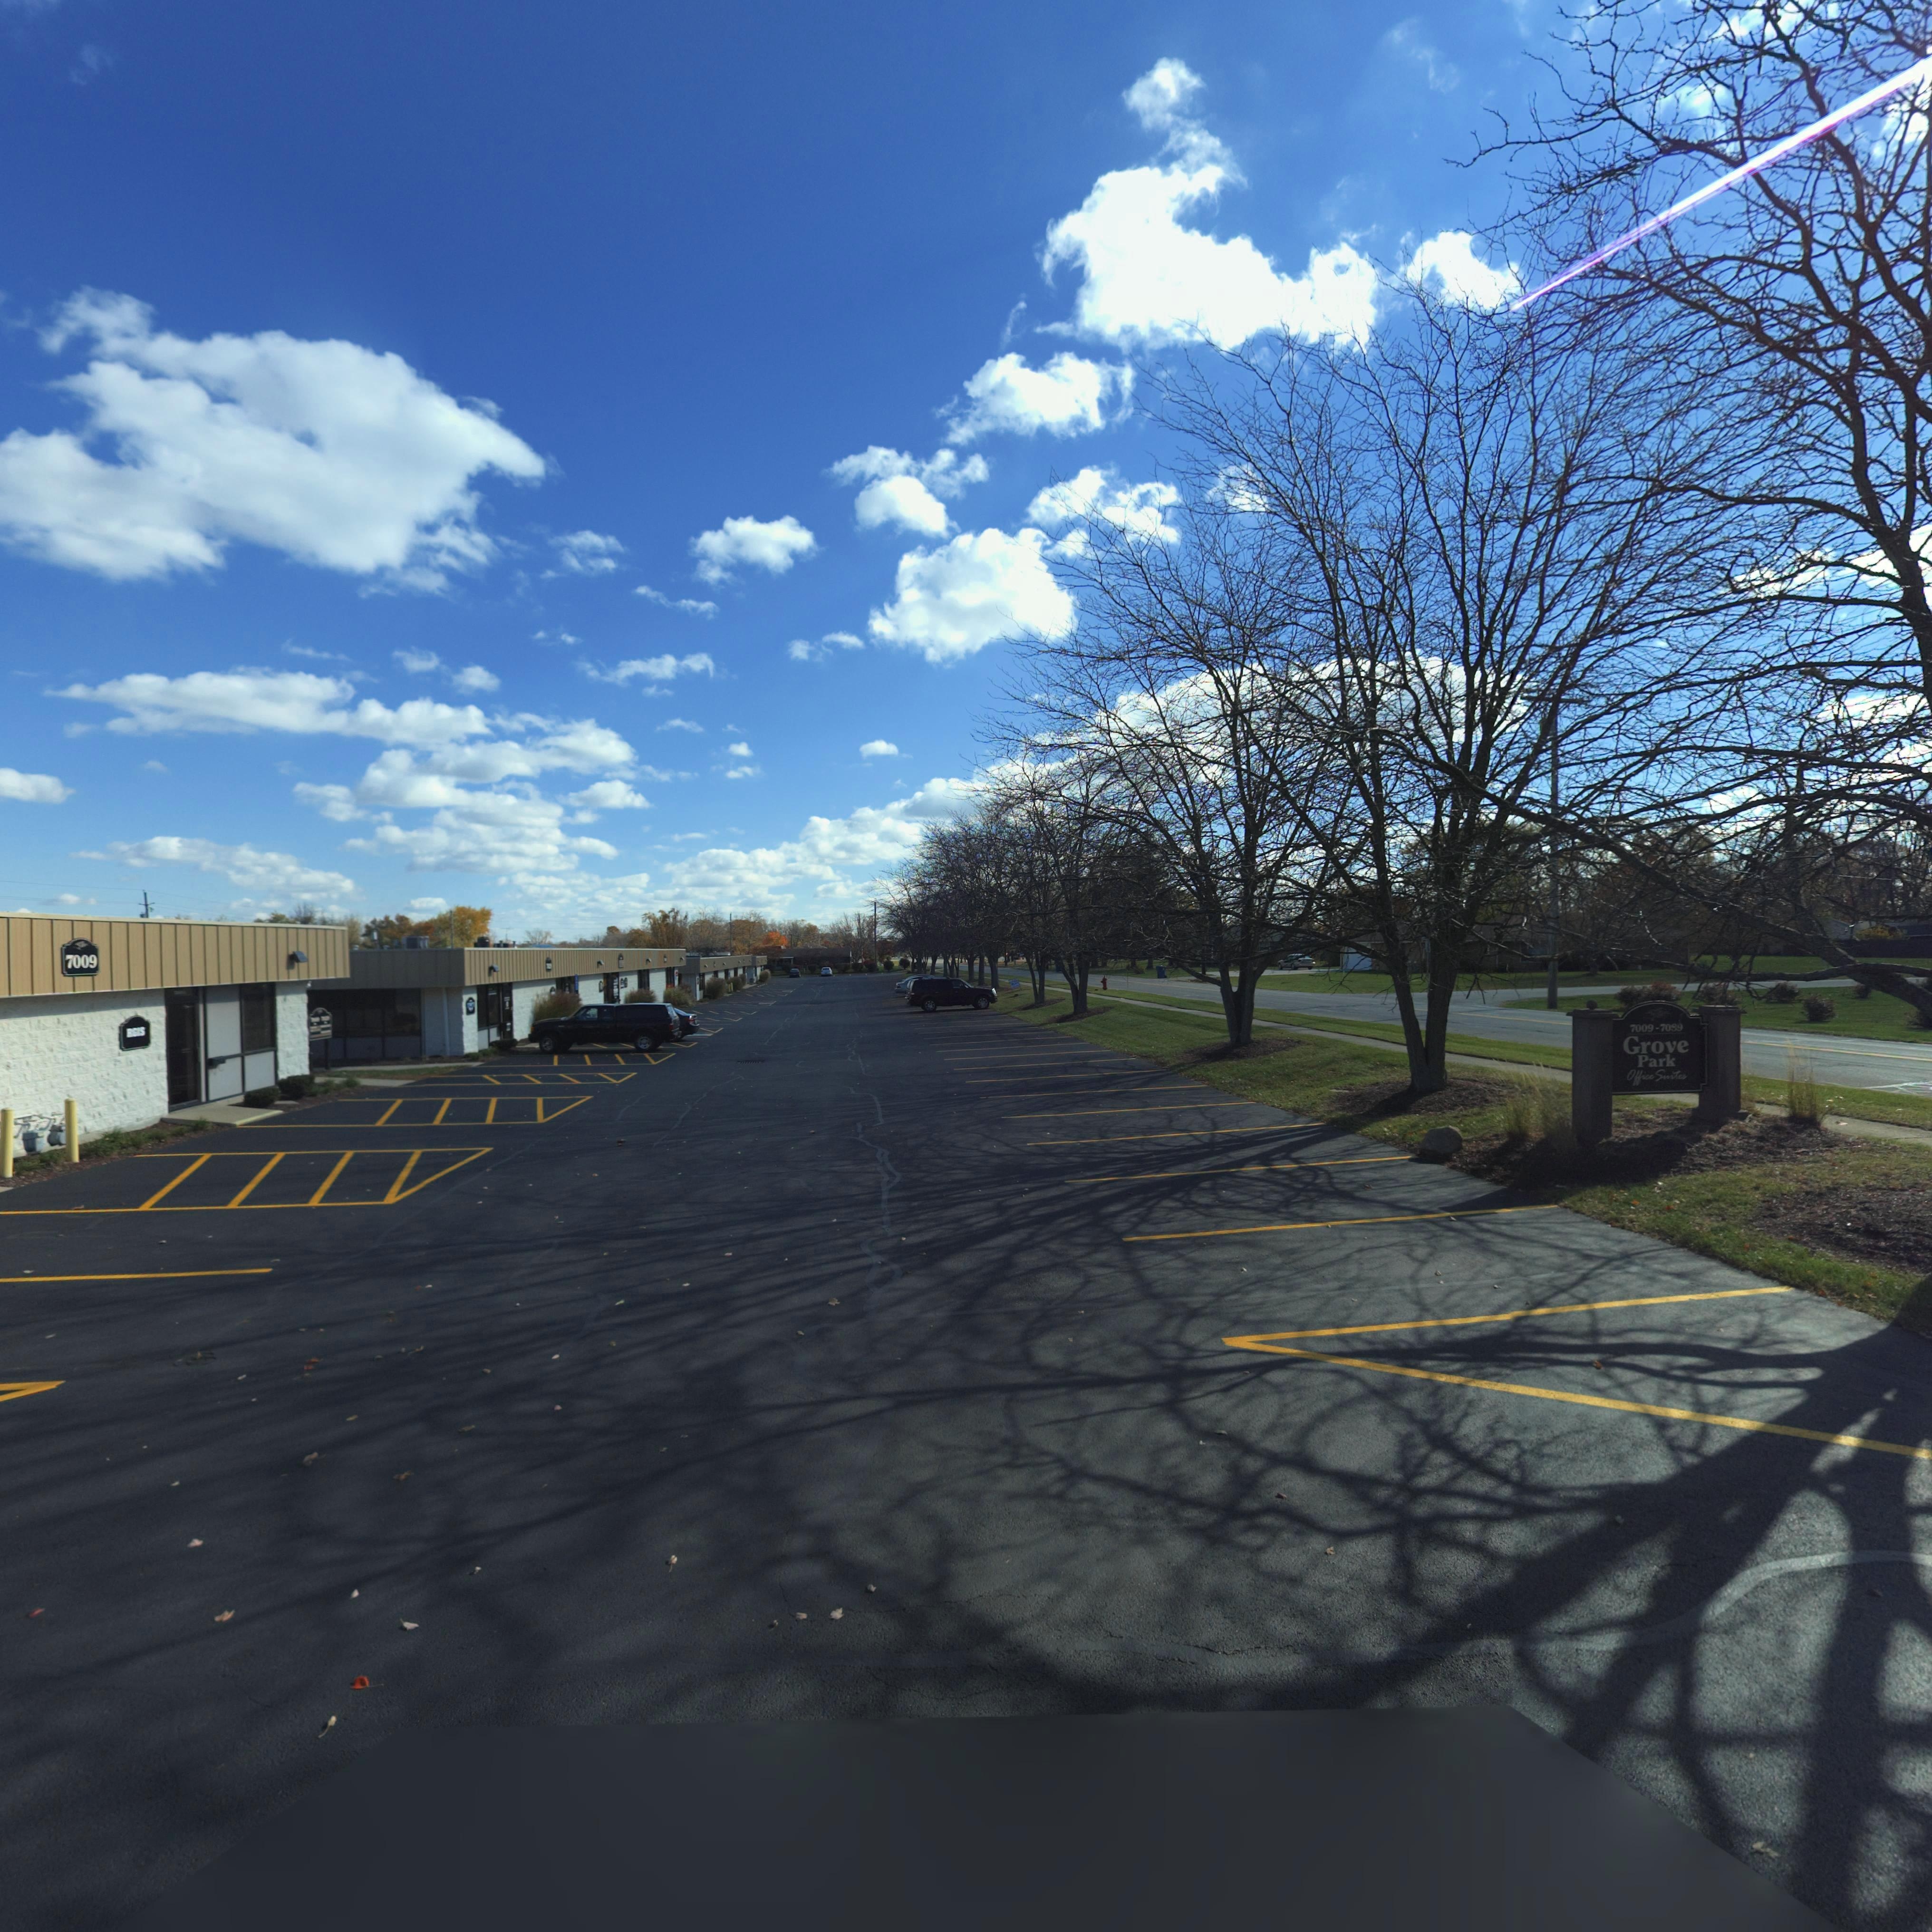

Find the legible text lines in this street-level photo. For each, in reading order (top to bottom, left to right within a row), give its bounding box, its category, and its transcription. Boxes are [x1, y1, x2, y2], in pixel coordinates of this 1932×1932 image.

[64, 953, 99, 970] StreetNumber: 7009
[1628, 1023, 1655, 1034] StreetNumber: 7009
[1658, 1023, 1685, 1034] StreetNumber: 70*9